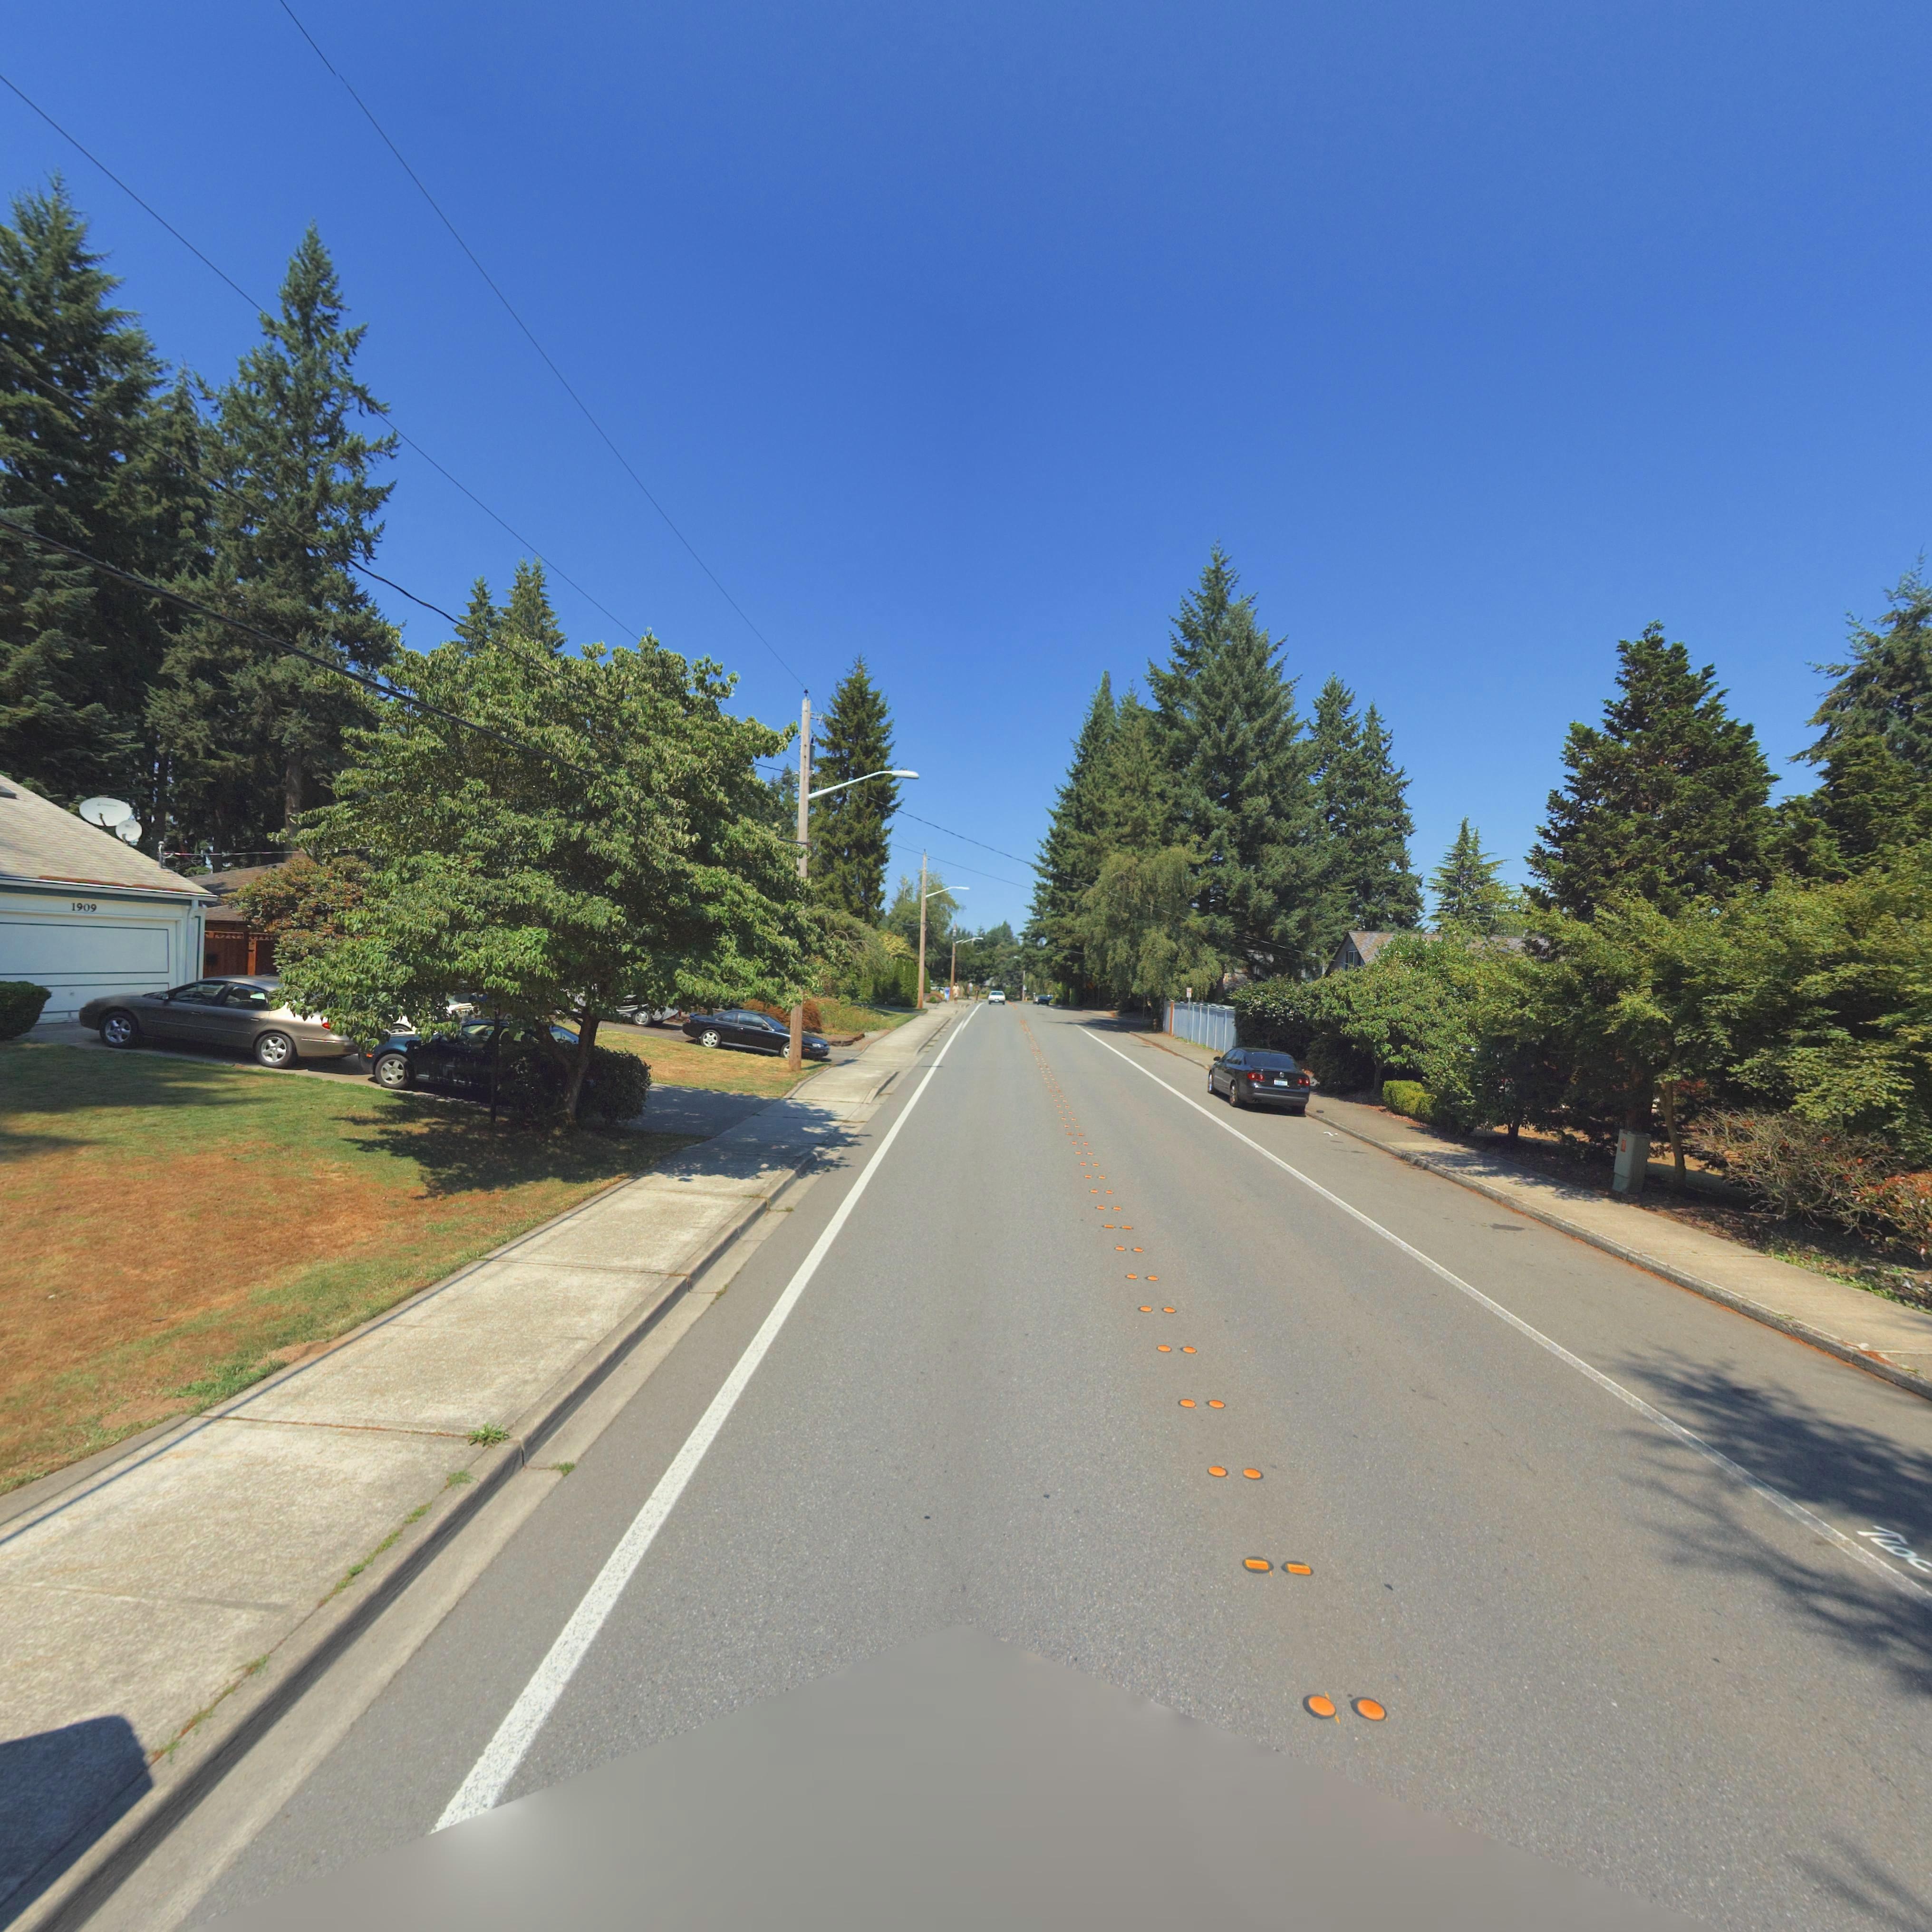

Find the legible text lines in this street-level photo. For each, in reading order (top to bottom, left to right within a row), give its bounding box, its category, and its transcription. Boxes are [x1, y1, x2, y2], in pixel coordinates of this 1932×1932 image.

[71, 901, 99, 913] StreetNumber: 1909